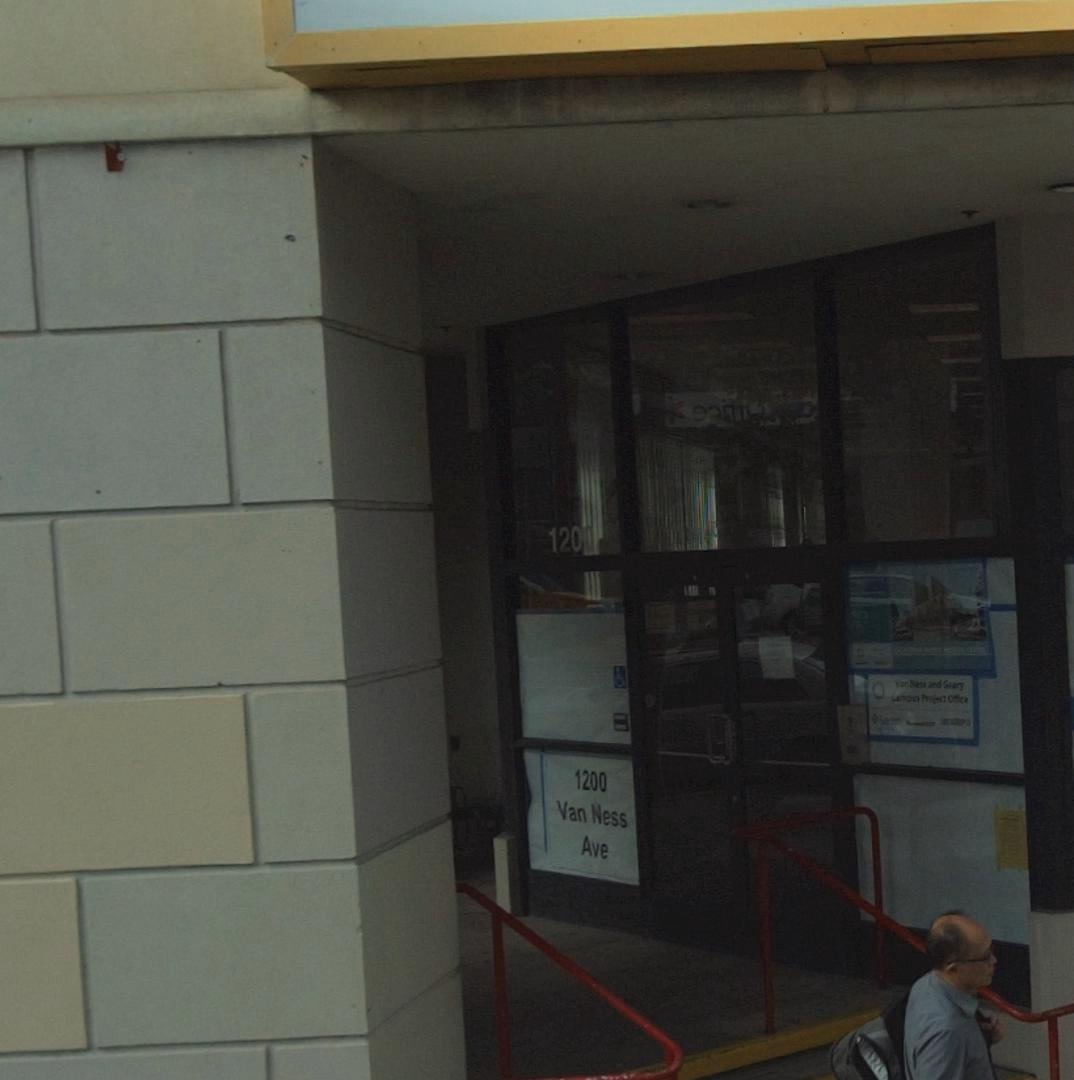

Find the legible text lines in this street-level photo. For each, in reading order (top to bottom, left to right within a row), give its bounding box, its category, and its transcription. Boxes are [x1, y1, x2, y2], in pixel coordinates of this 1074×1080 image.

[545, 521, 596, 556] StreetNumber: 1200
[571, 765, 609, 796] StreetNumber: 1200
[552, 797, 630, 831] StreetName: Van Ness
[577, 831, 611, 863] StreetName: Ave